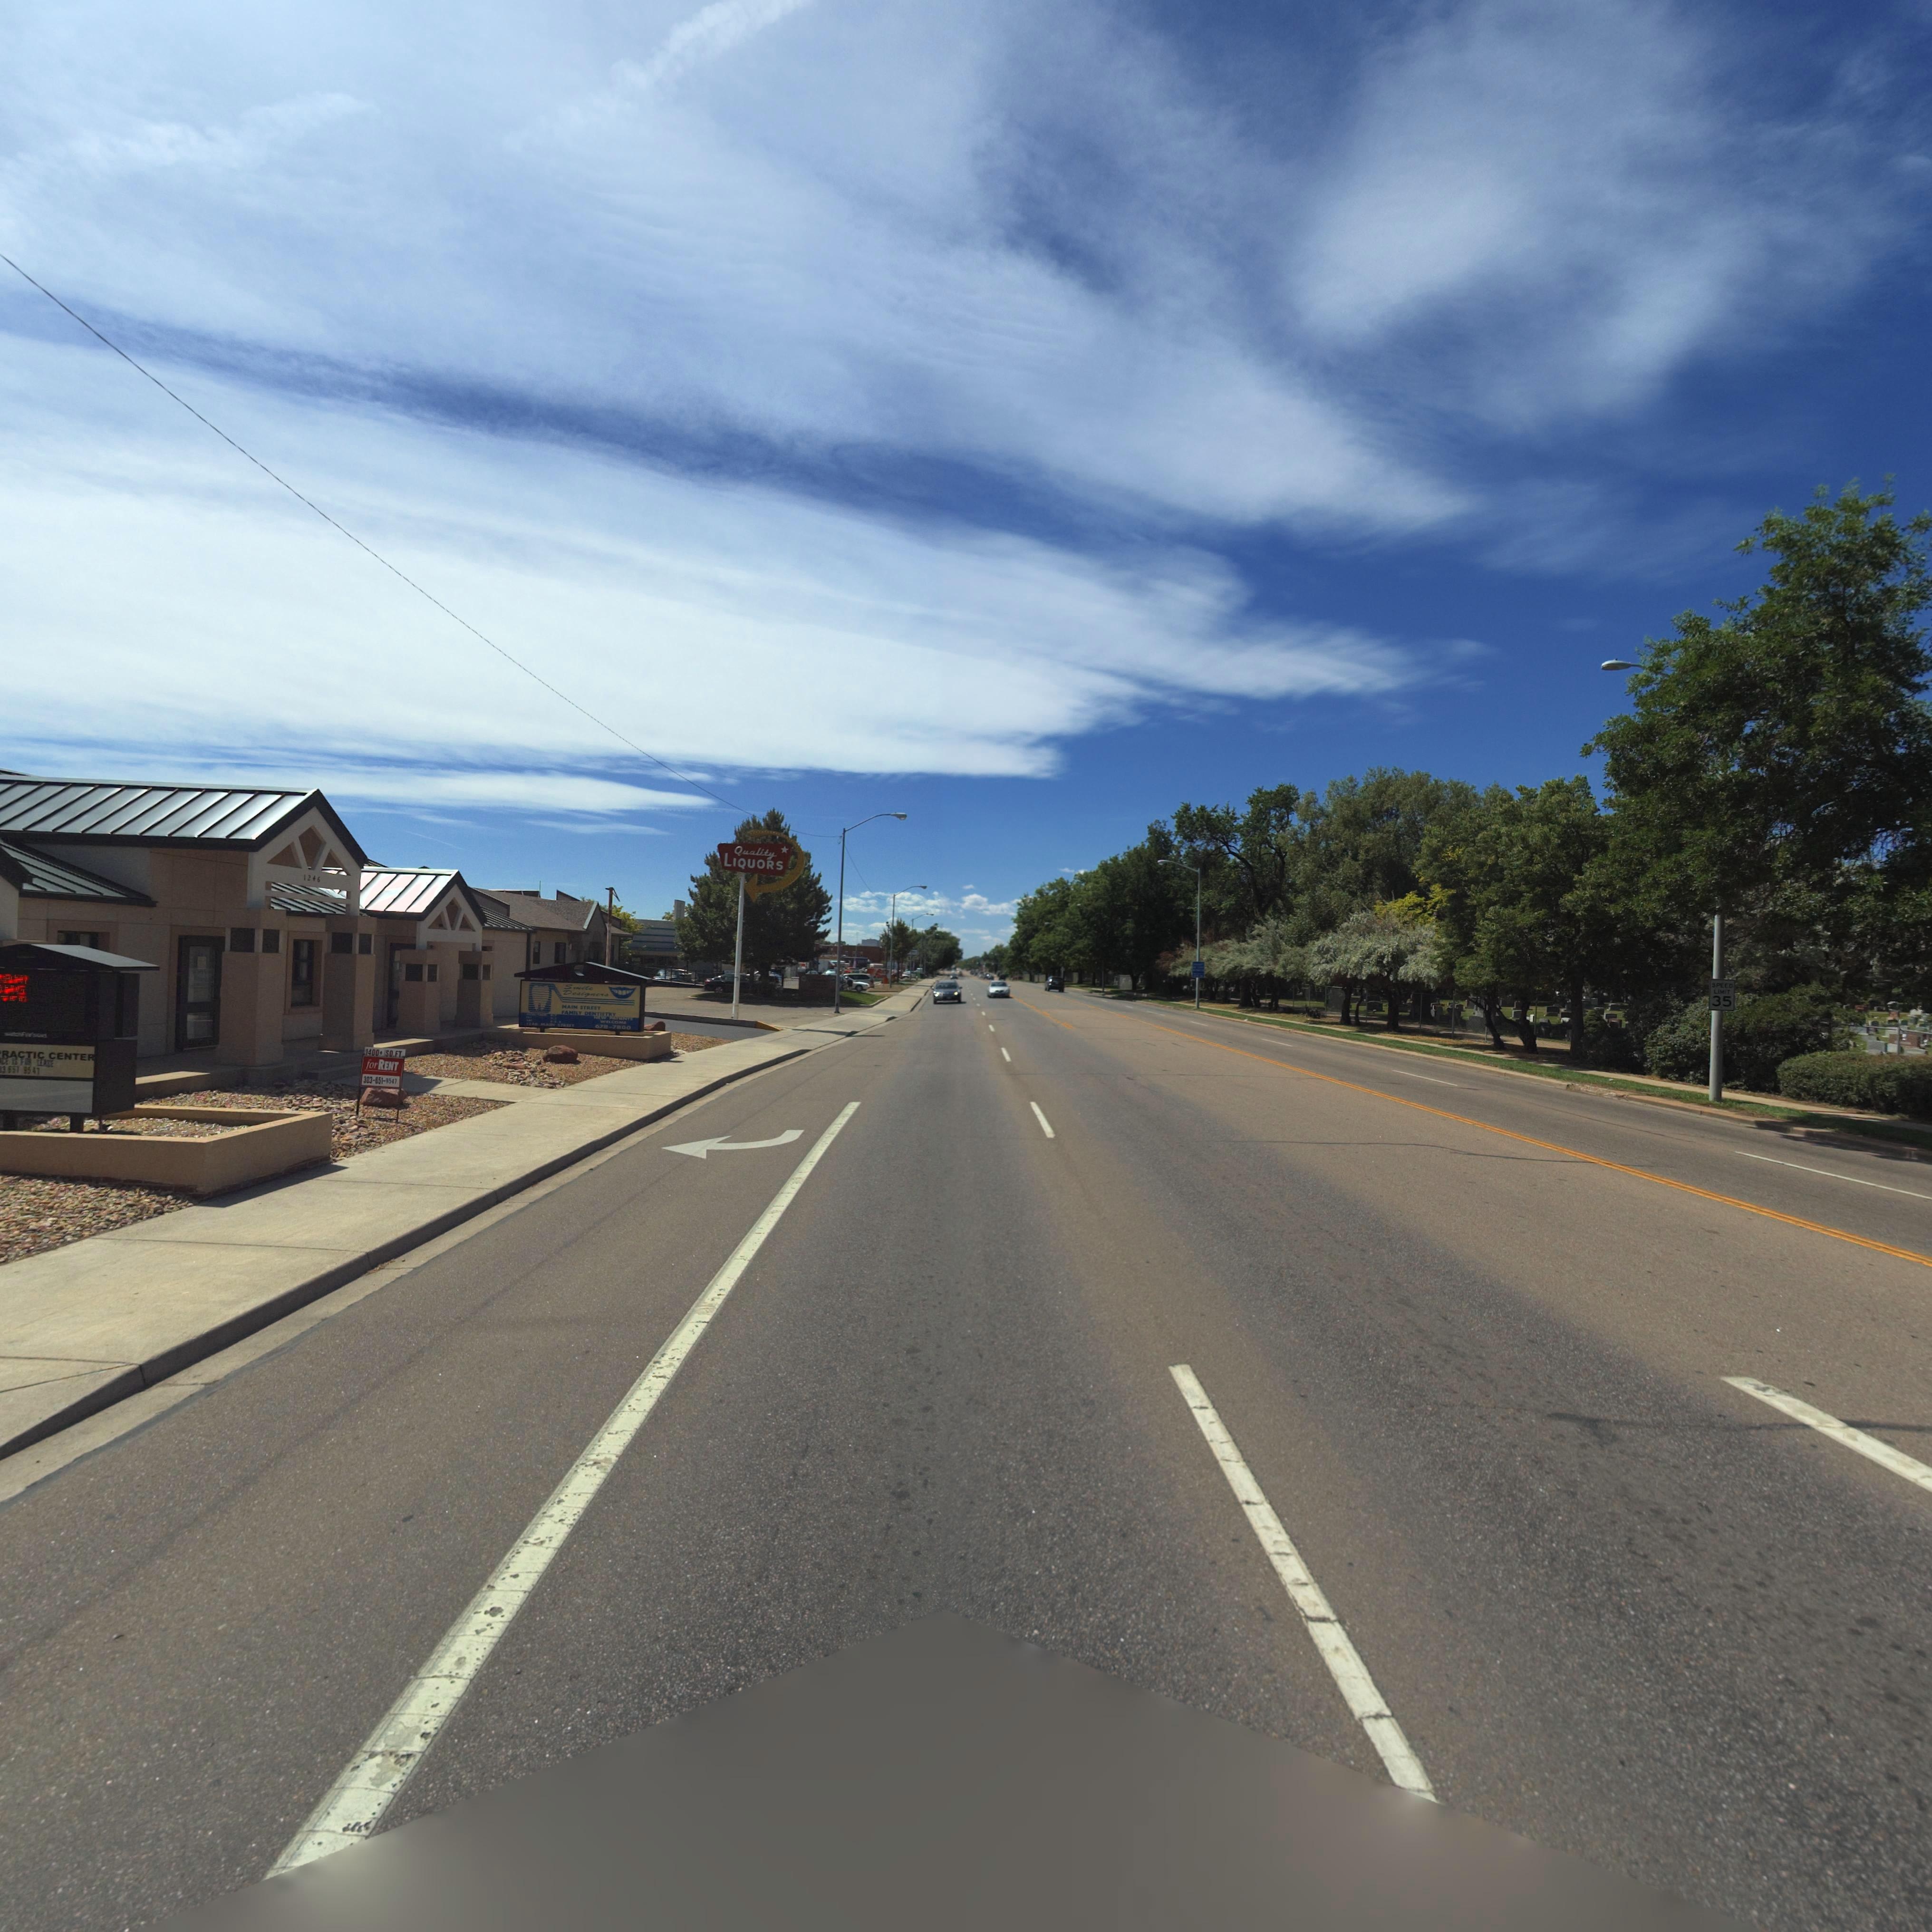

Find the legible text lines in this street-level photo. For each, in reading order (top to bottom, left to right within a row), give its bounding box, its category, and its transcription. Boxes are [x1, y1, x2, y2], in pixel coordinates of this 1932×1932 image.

[734, 845, 775, 860] BusinessName: Quality
[723, 852, 783, 870] BusinessName: LIQUORS
[303, 874, 320, 882] StreetNumber: 1246
[564, 984, 593, 990] BusinessName: Smile
[563, 990, 609, 997] BusinessName: Designers
[526, 1022, 537, 1025] StreetNumber: 12**
[541, 1023, 574, 1027] StreetName: *A** ST***T